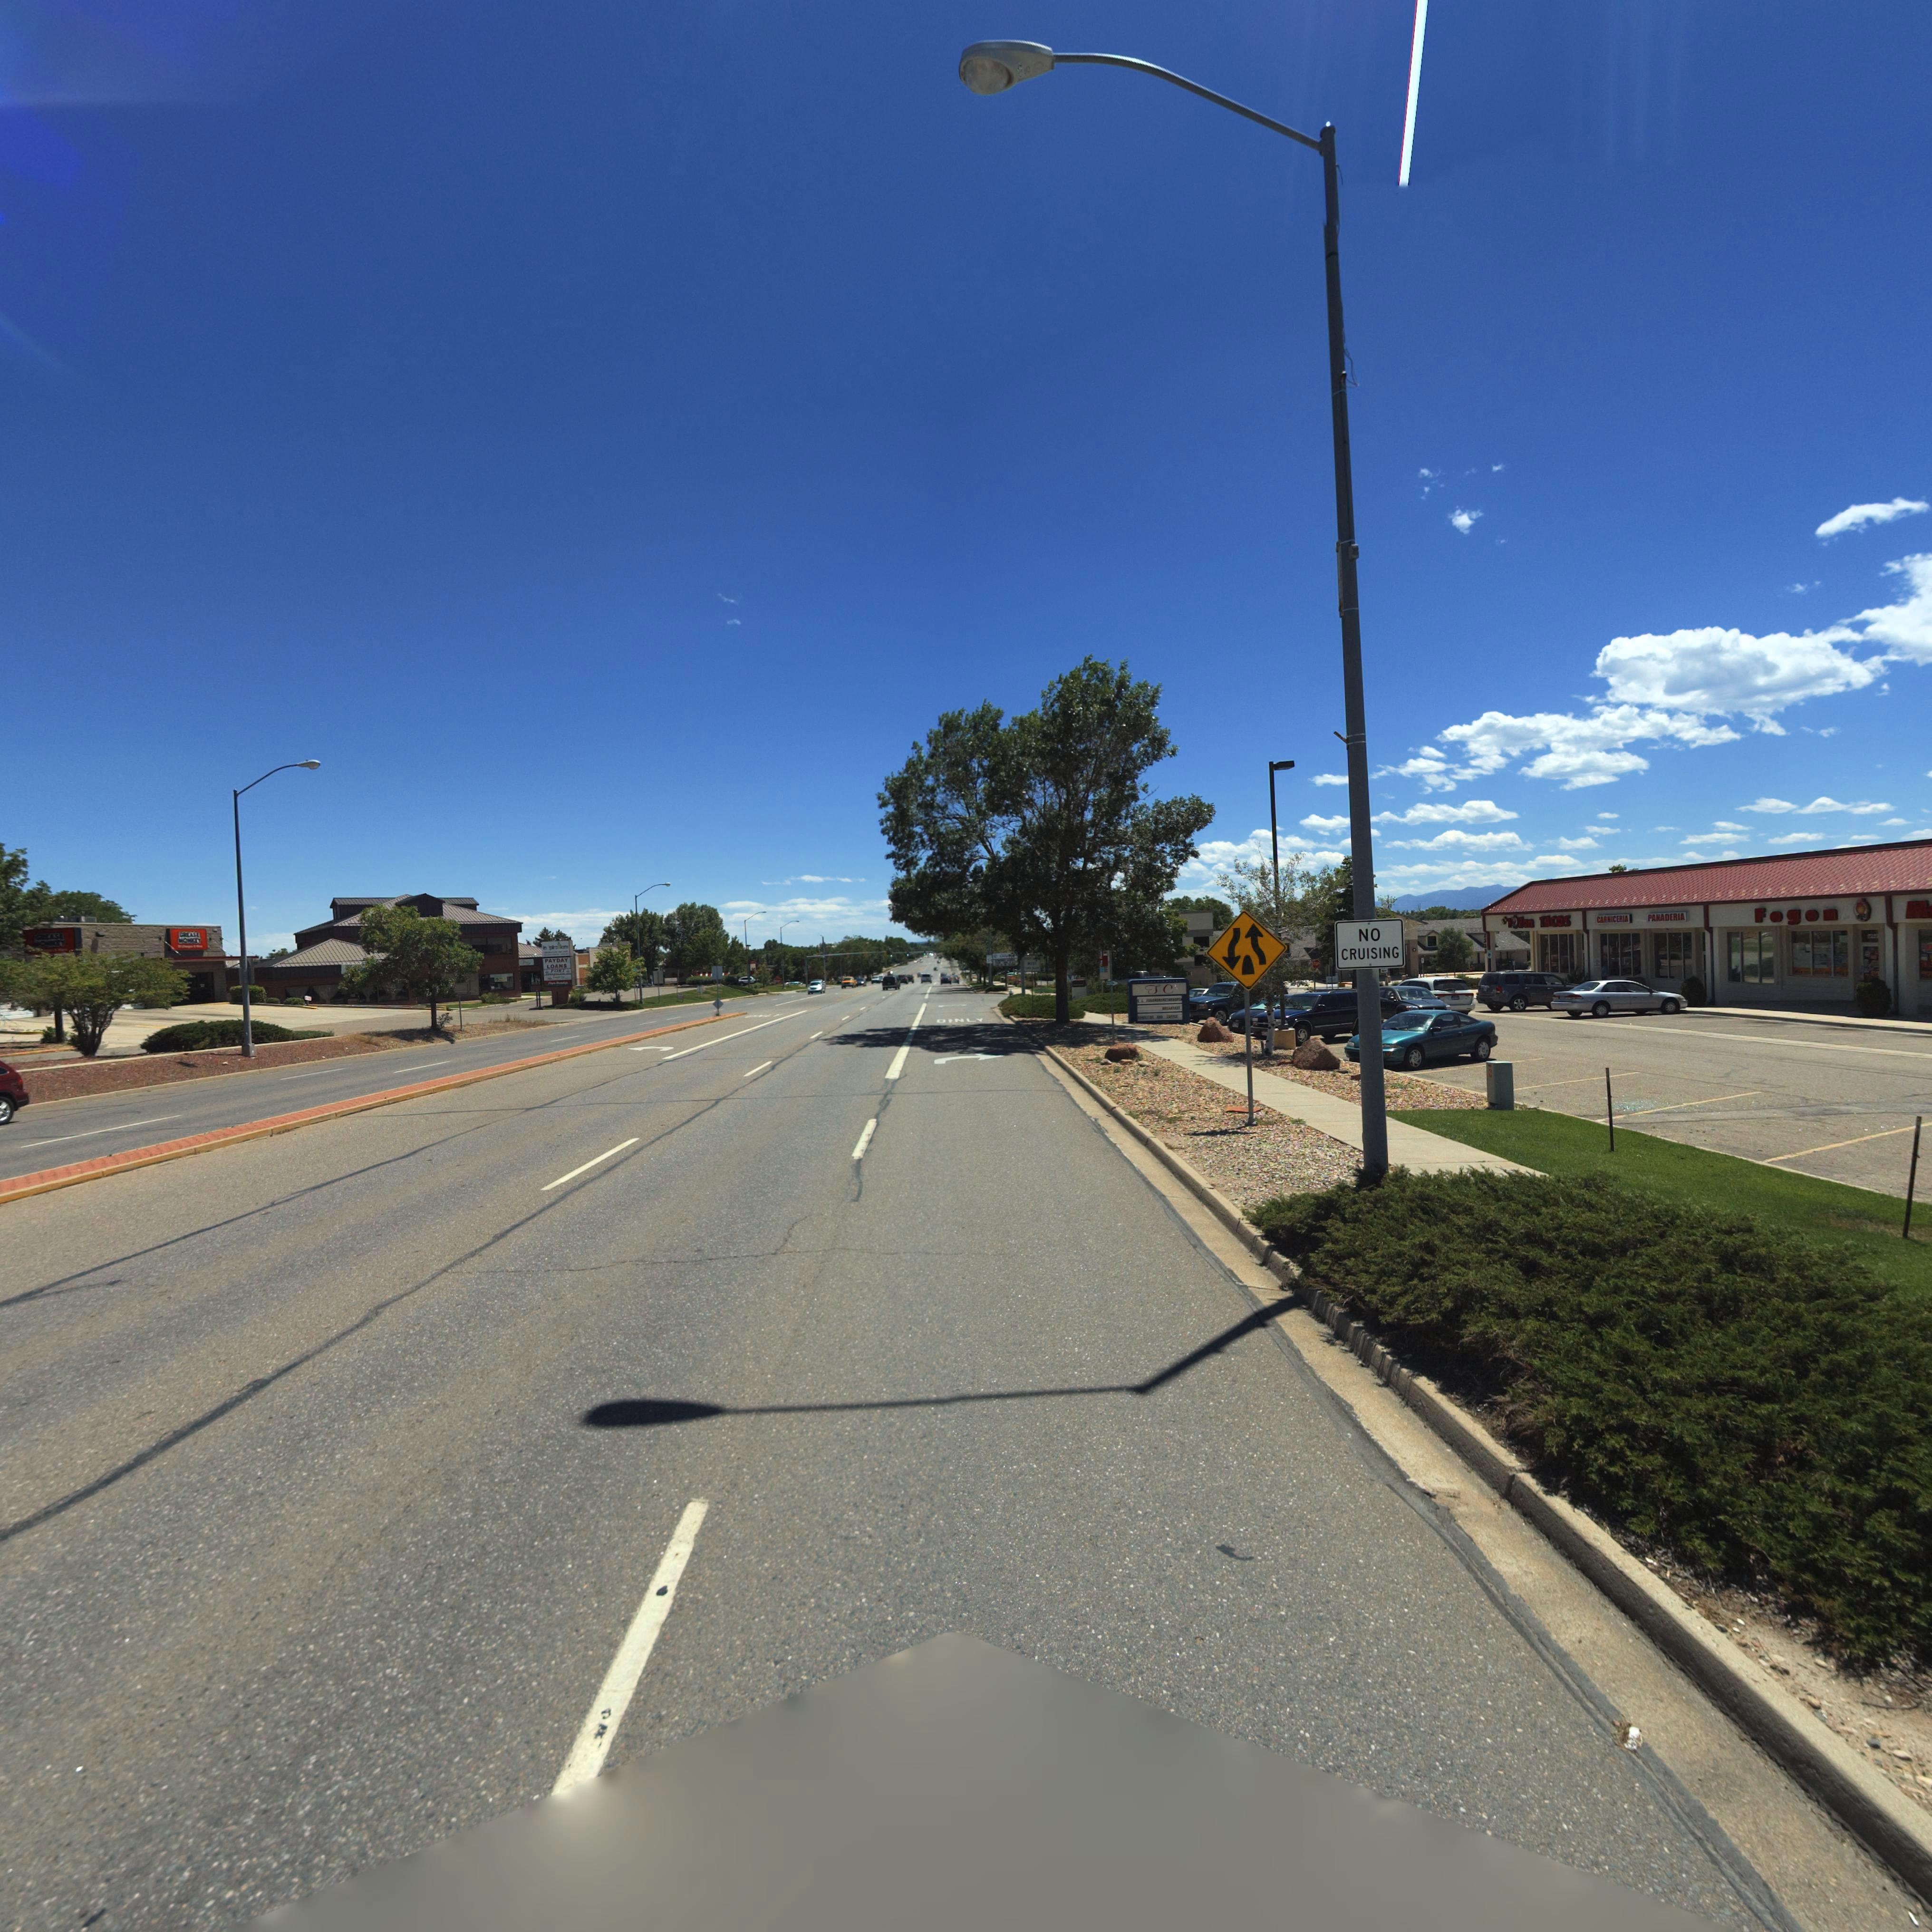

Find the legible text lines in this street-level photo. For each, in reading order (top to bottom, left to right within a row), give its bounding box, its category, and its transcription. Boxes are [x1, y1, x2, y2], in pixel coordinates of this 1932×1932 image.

[1904, 899, 1928, 919] BusinessName: M
[1500, 918, 1507, 925] BusinessName: E
[1506, 914, 1535, 928] BusinessName: T*gon
[1538, 915, 1571, 927] BusinessName: TACOS
[1753, 908, 1838, 926] BusinessName: Fogon
[34, 932, 64, 940] BusinessName: GREASE
[33, 939, 65, 948] BusinessName: ***KEY
[179, 931, 199, 937] BusinessName: G**
[177, 937, 201, 943] BusinessName: MON**Y
[1483, 933, 1487, 954] StreetNumber: 1333
[1866, 933, 1880, 939] StreetNumber: 12**
[1144, 984, 1174, 995] BusinessName: JC